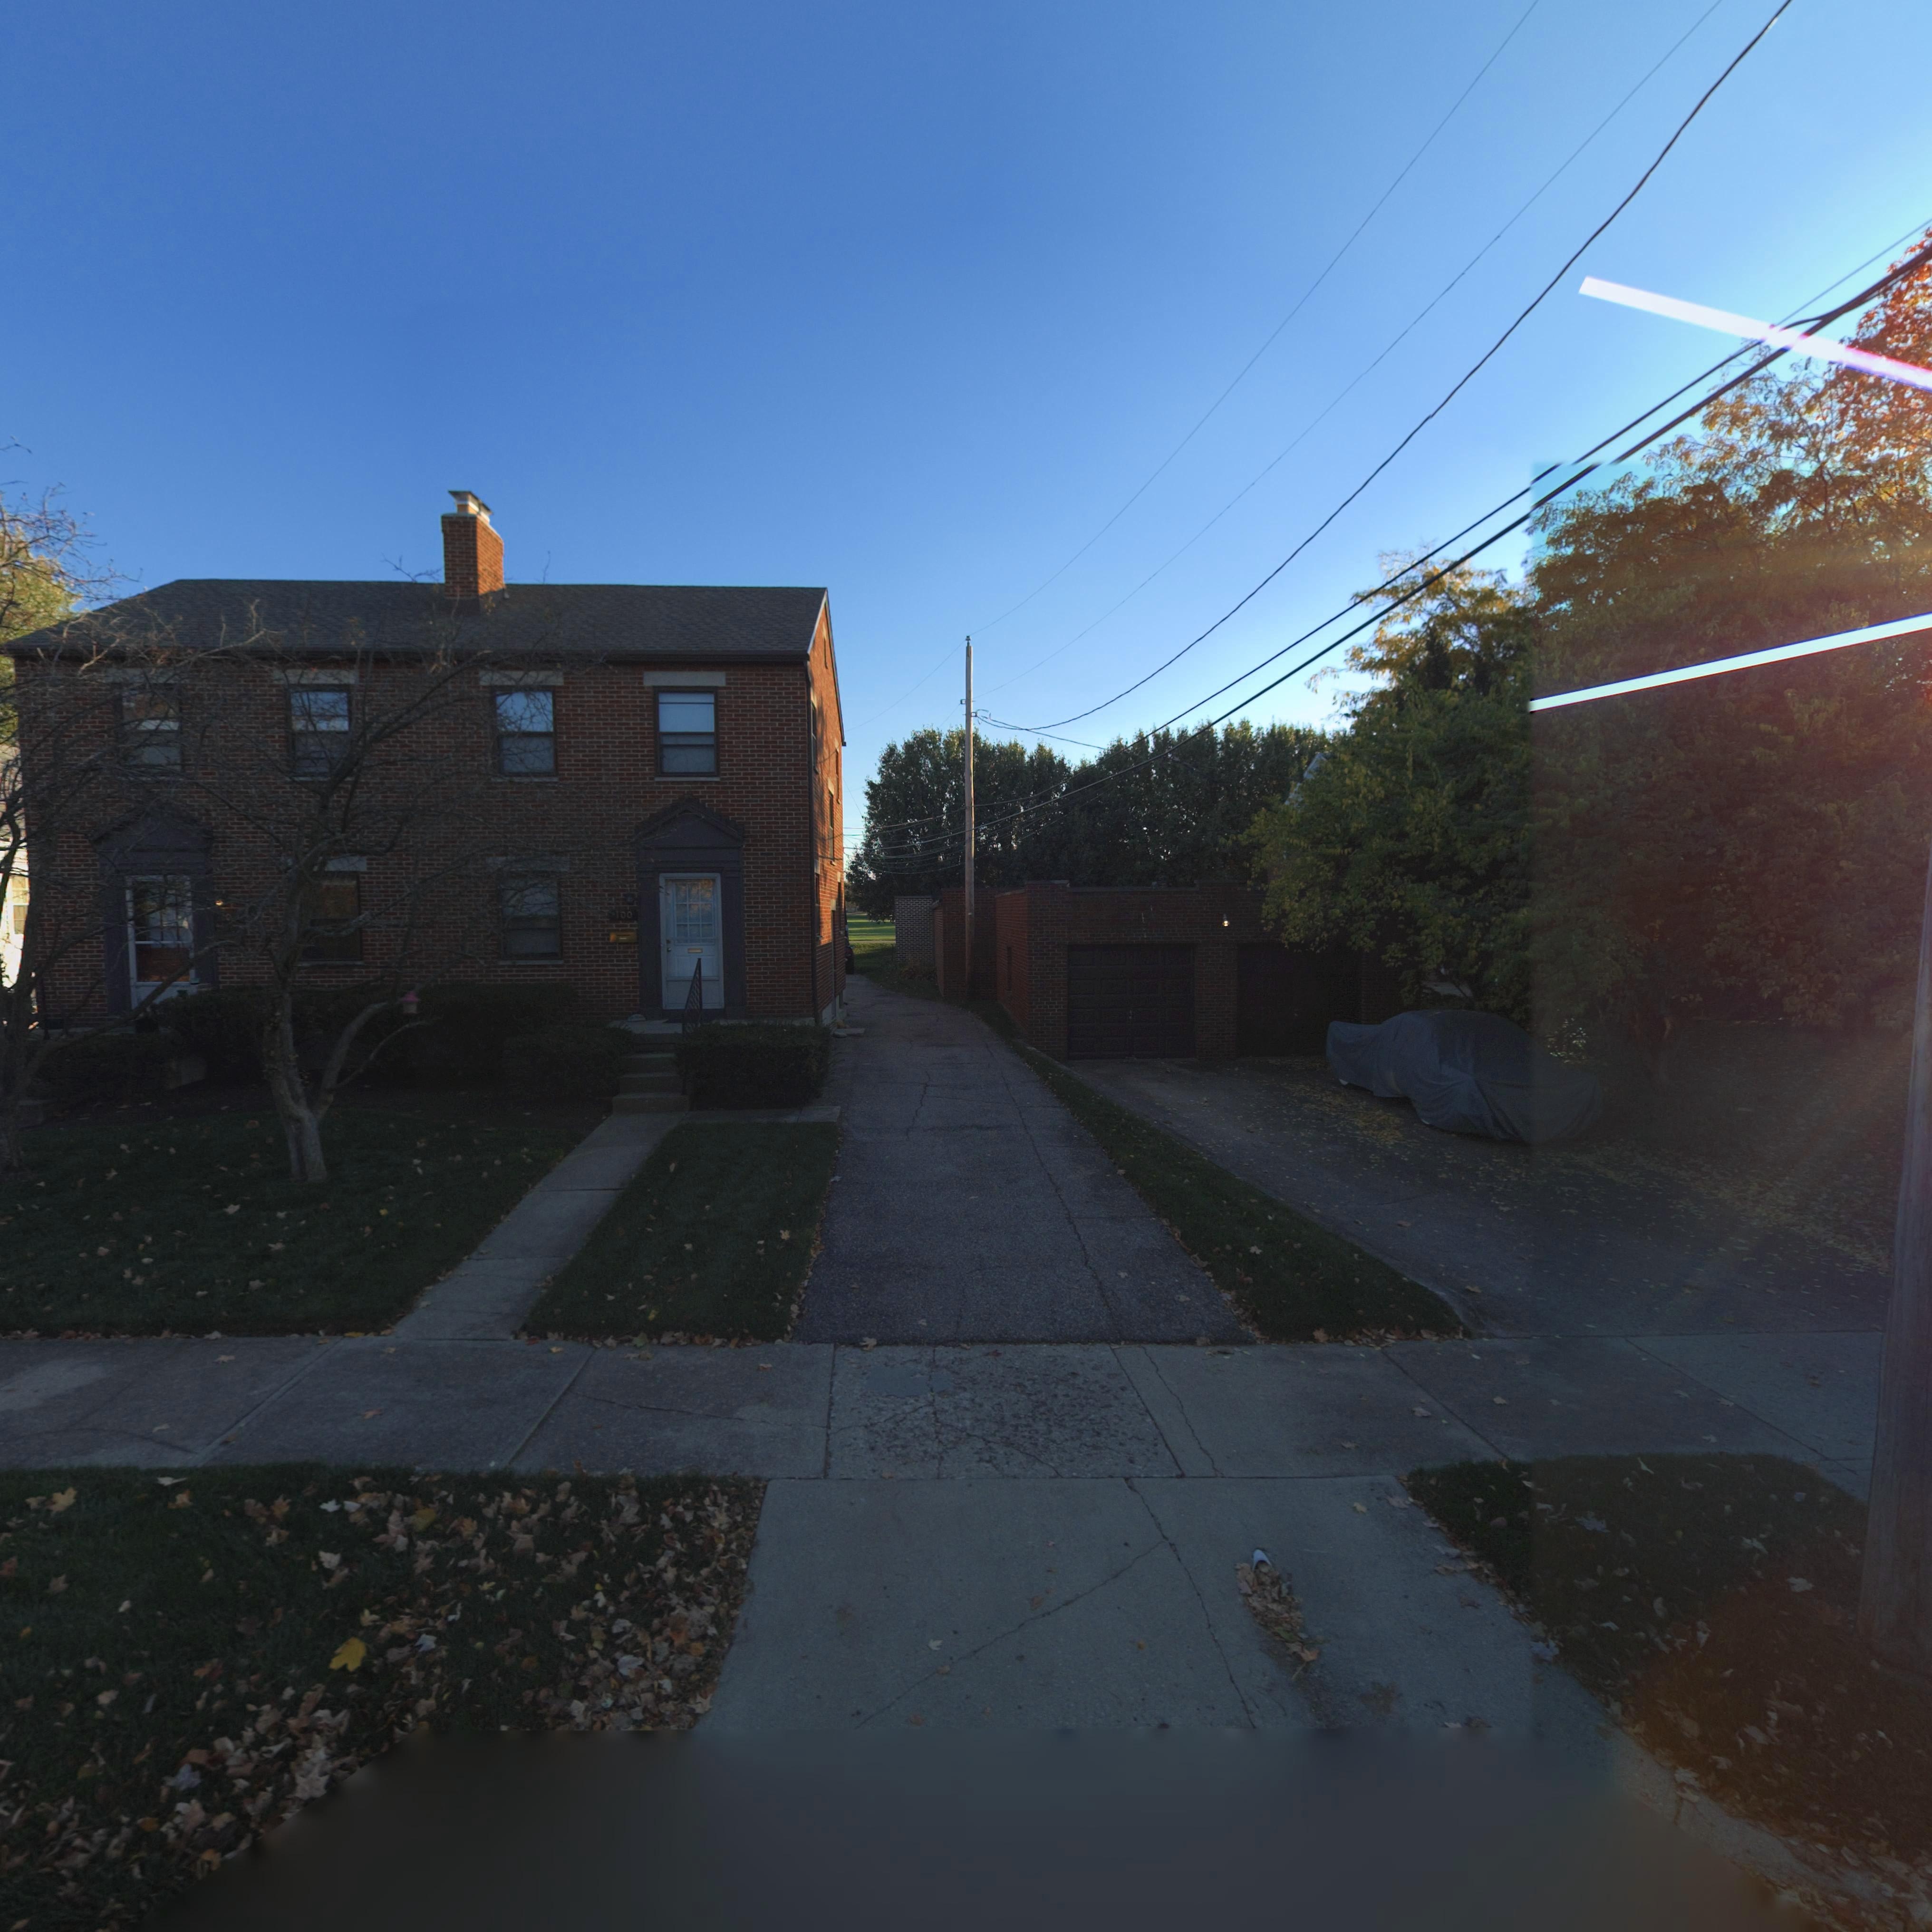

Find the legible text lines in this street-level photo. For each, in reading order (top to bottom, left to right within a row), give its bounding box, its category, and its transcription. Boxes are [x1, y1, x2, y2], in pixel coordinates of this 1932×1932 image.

[615, 910, 633, 920] StreetNumber: 100